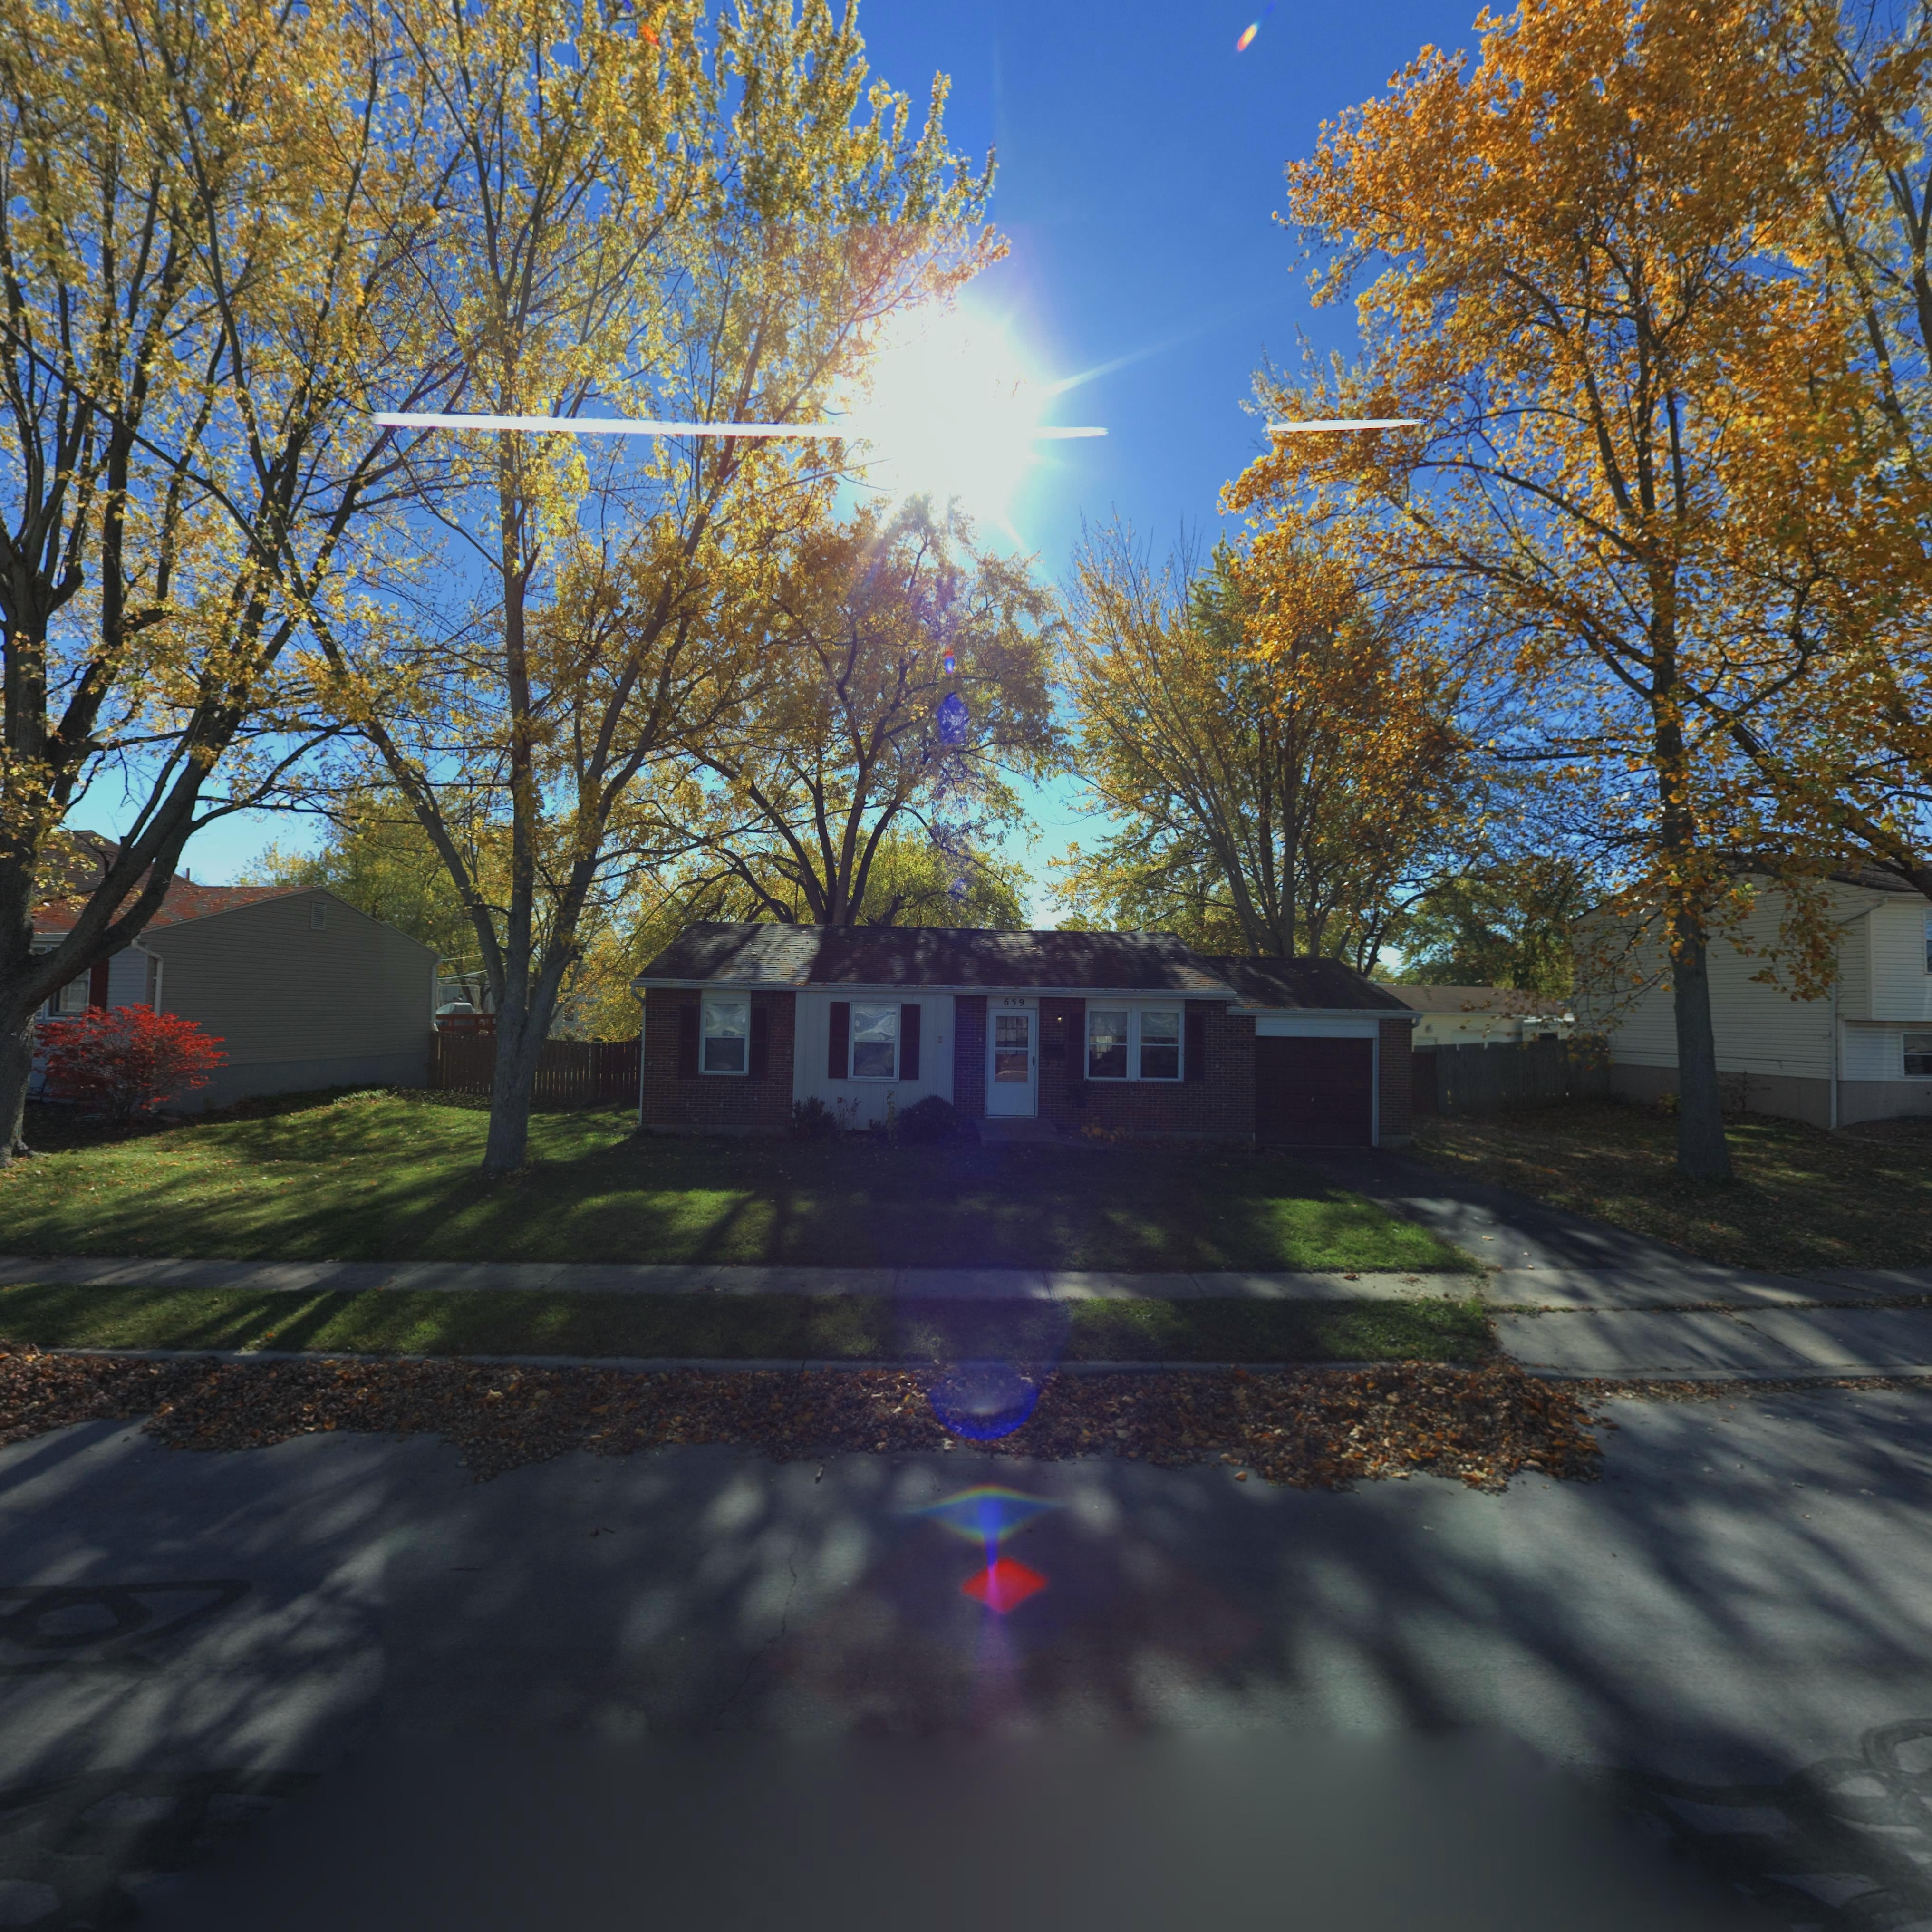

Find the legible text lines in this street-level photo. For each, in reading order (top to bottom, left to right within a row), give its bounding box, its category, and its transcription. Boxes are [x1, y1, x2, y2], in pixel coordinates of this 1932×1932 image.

[1004, 997, 1025, 1007] StreetNumber: 659